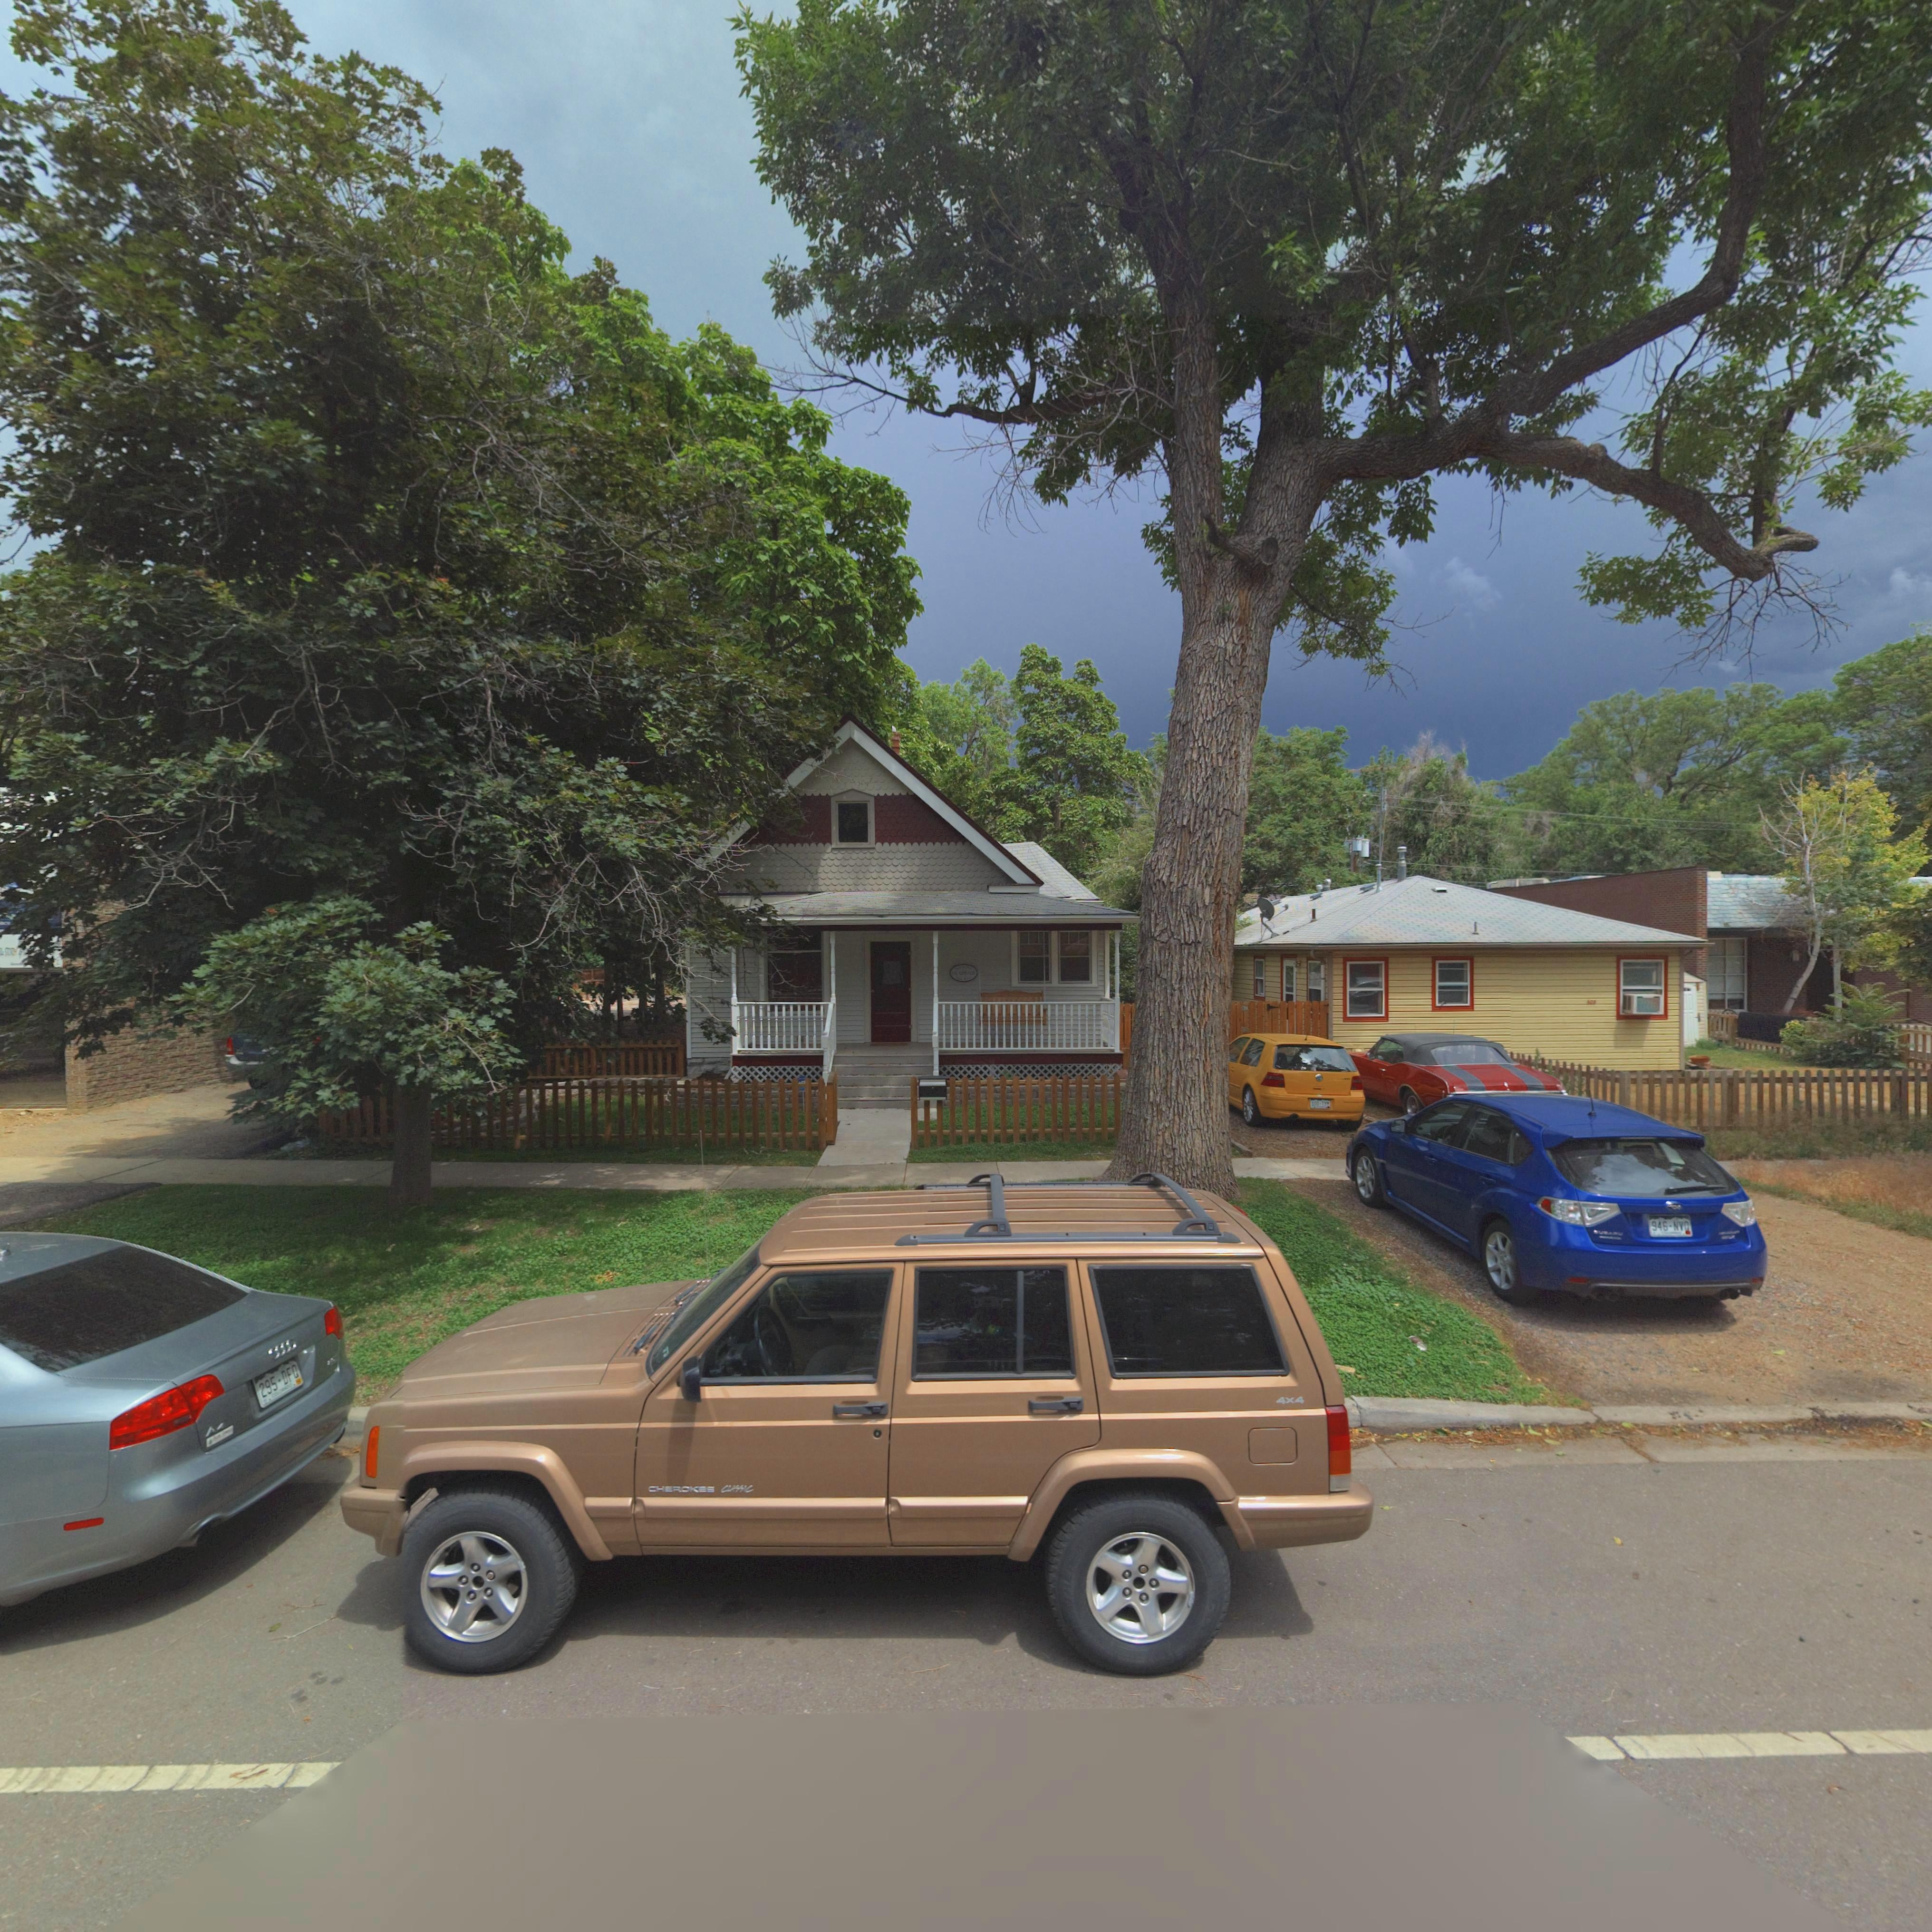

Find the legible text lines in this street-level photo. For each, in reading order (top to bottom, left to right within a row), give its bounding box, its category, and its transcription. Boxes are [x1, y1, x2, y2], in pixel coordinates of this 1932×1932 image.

[959, 971, 976, 975] StreetName: K*****K